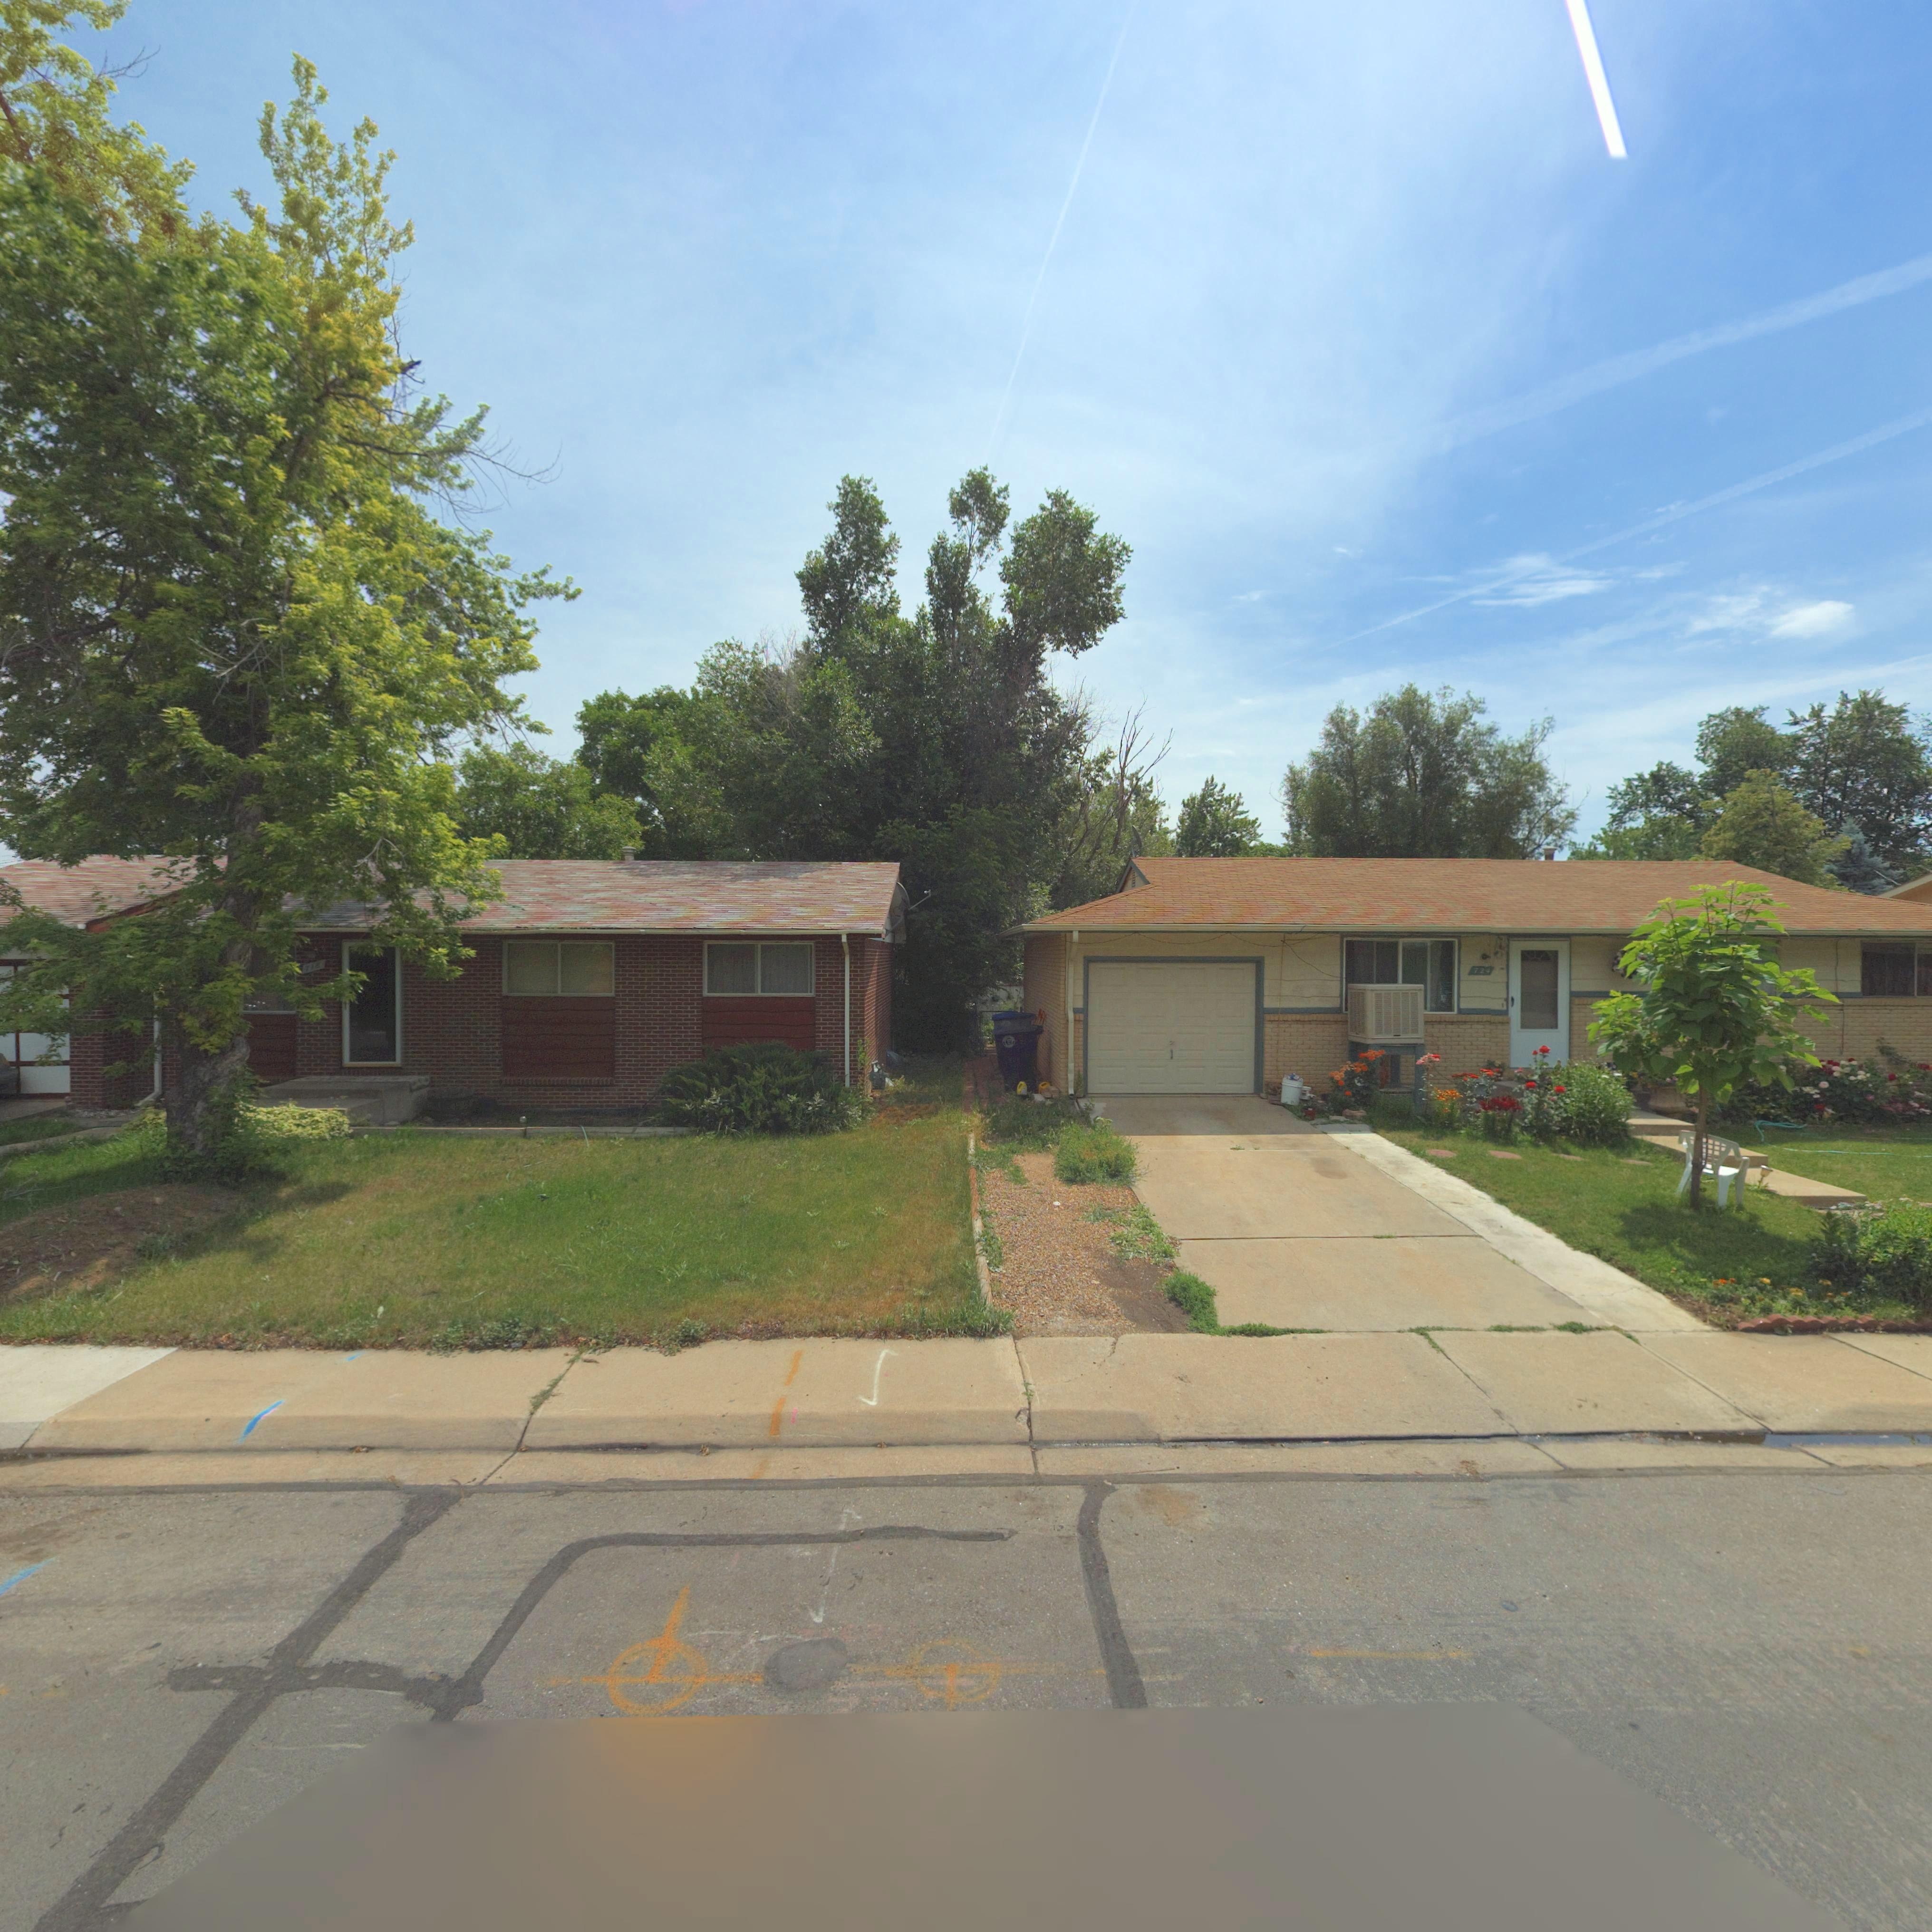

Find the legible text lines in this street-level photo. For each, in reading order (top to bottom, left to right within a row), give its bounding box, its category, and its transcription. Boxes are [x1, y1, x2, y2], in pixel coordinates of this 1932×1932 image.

[304, 961, 320, 971] StreetNumber: 7**
[1473, 966, 1491, 974] StreetNumber: 724